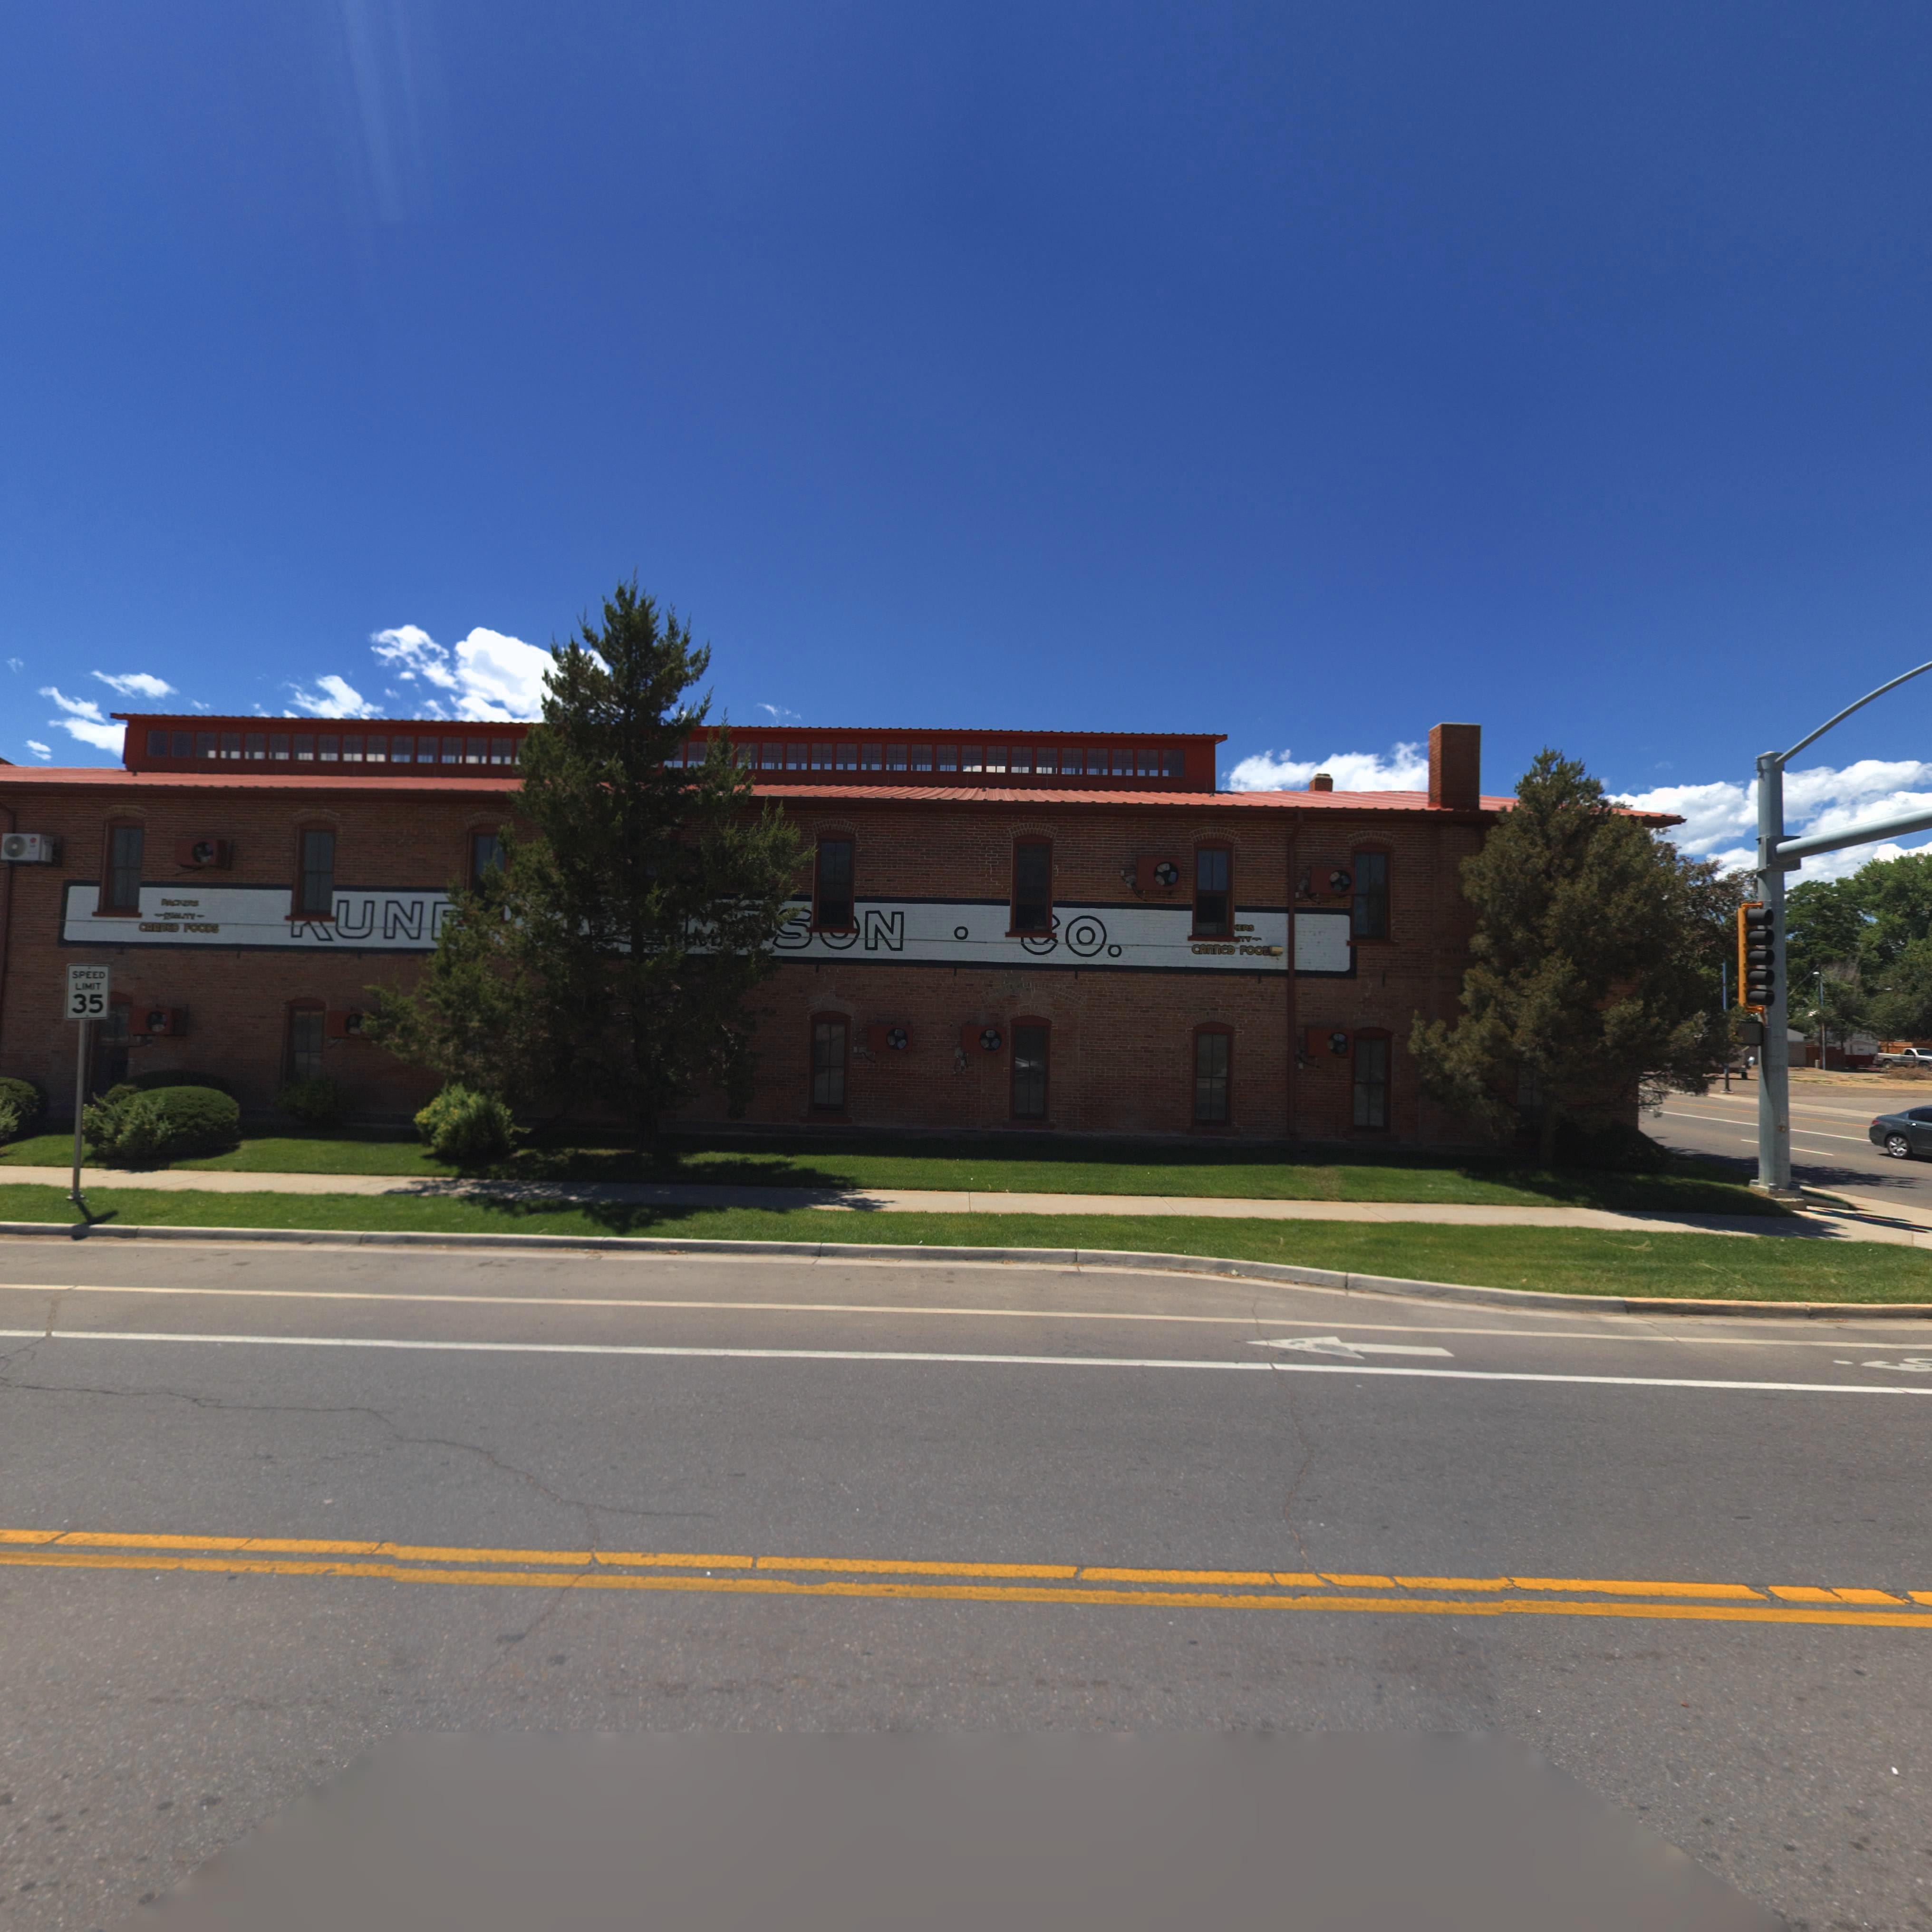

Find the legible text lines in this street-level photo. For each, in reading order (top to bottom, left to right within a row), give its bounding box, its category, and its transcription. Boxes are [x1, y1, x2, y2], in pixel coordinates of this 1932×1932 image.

[290, 898, 1122, 958] BusinessName: *UN** *M*S*N *O.